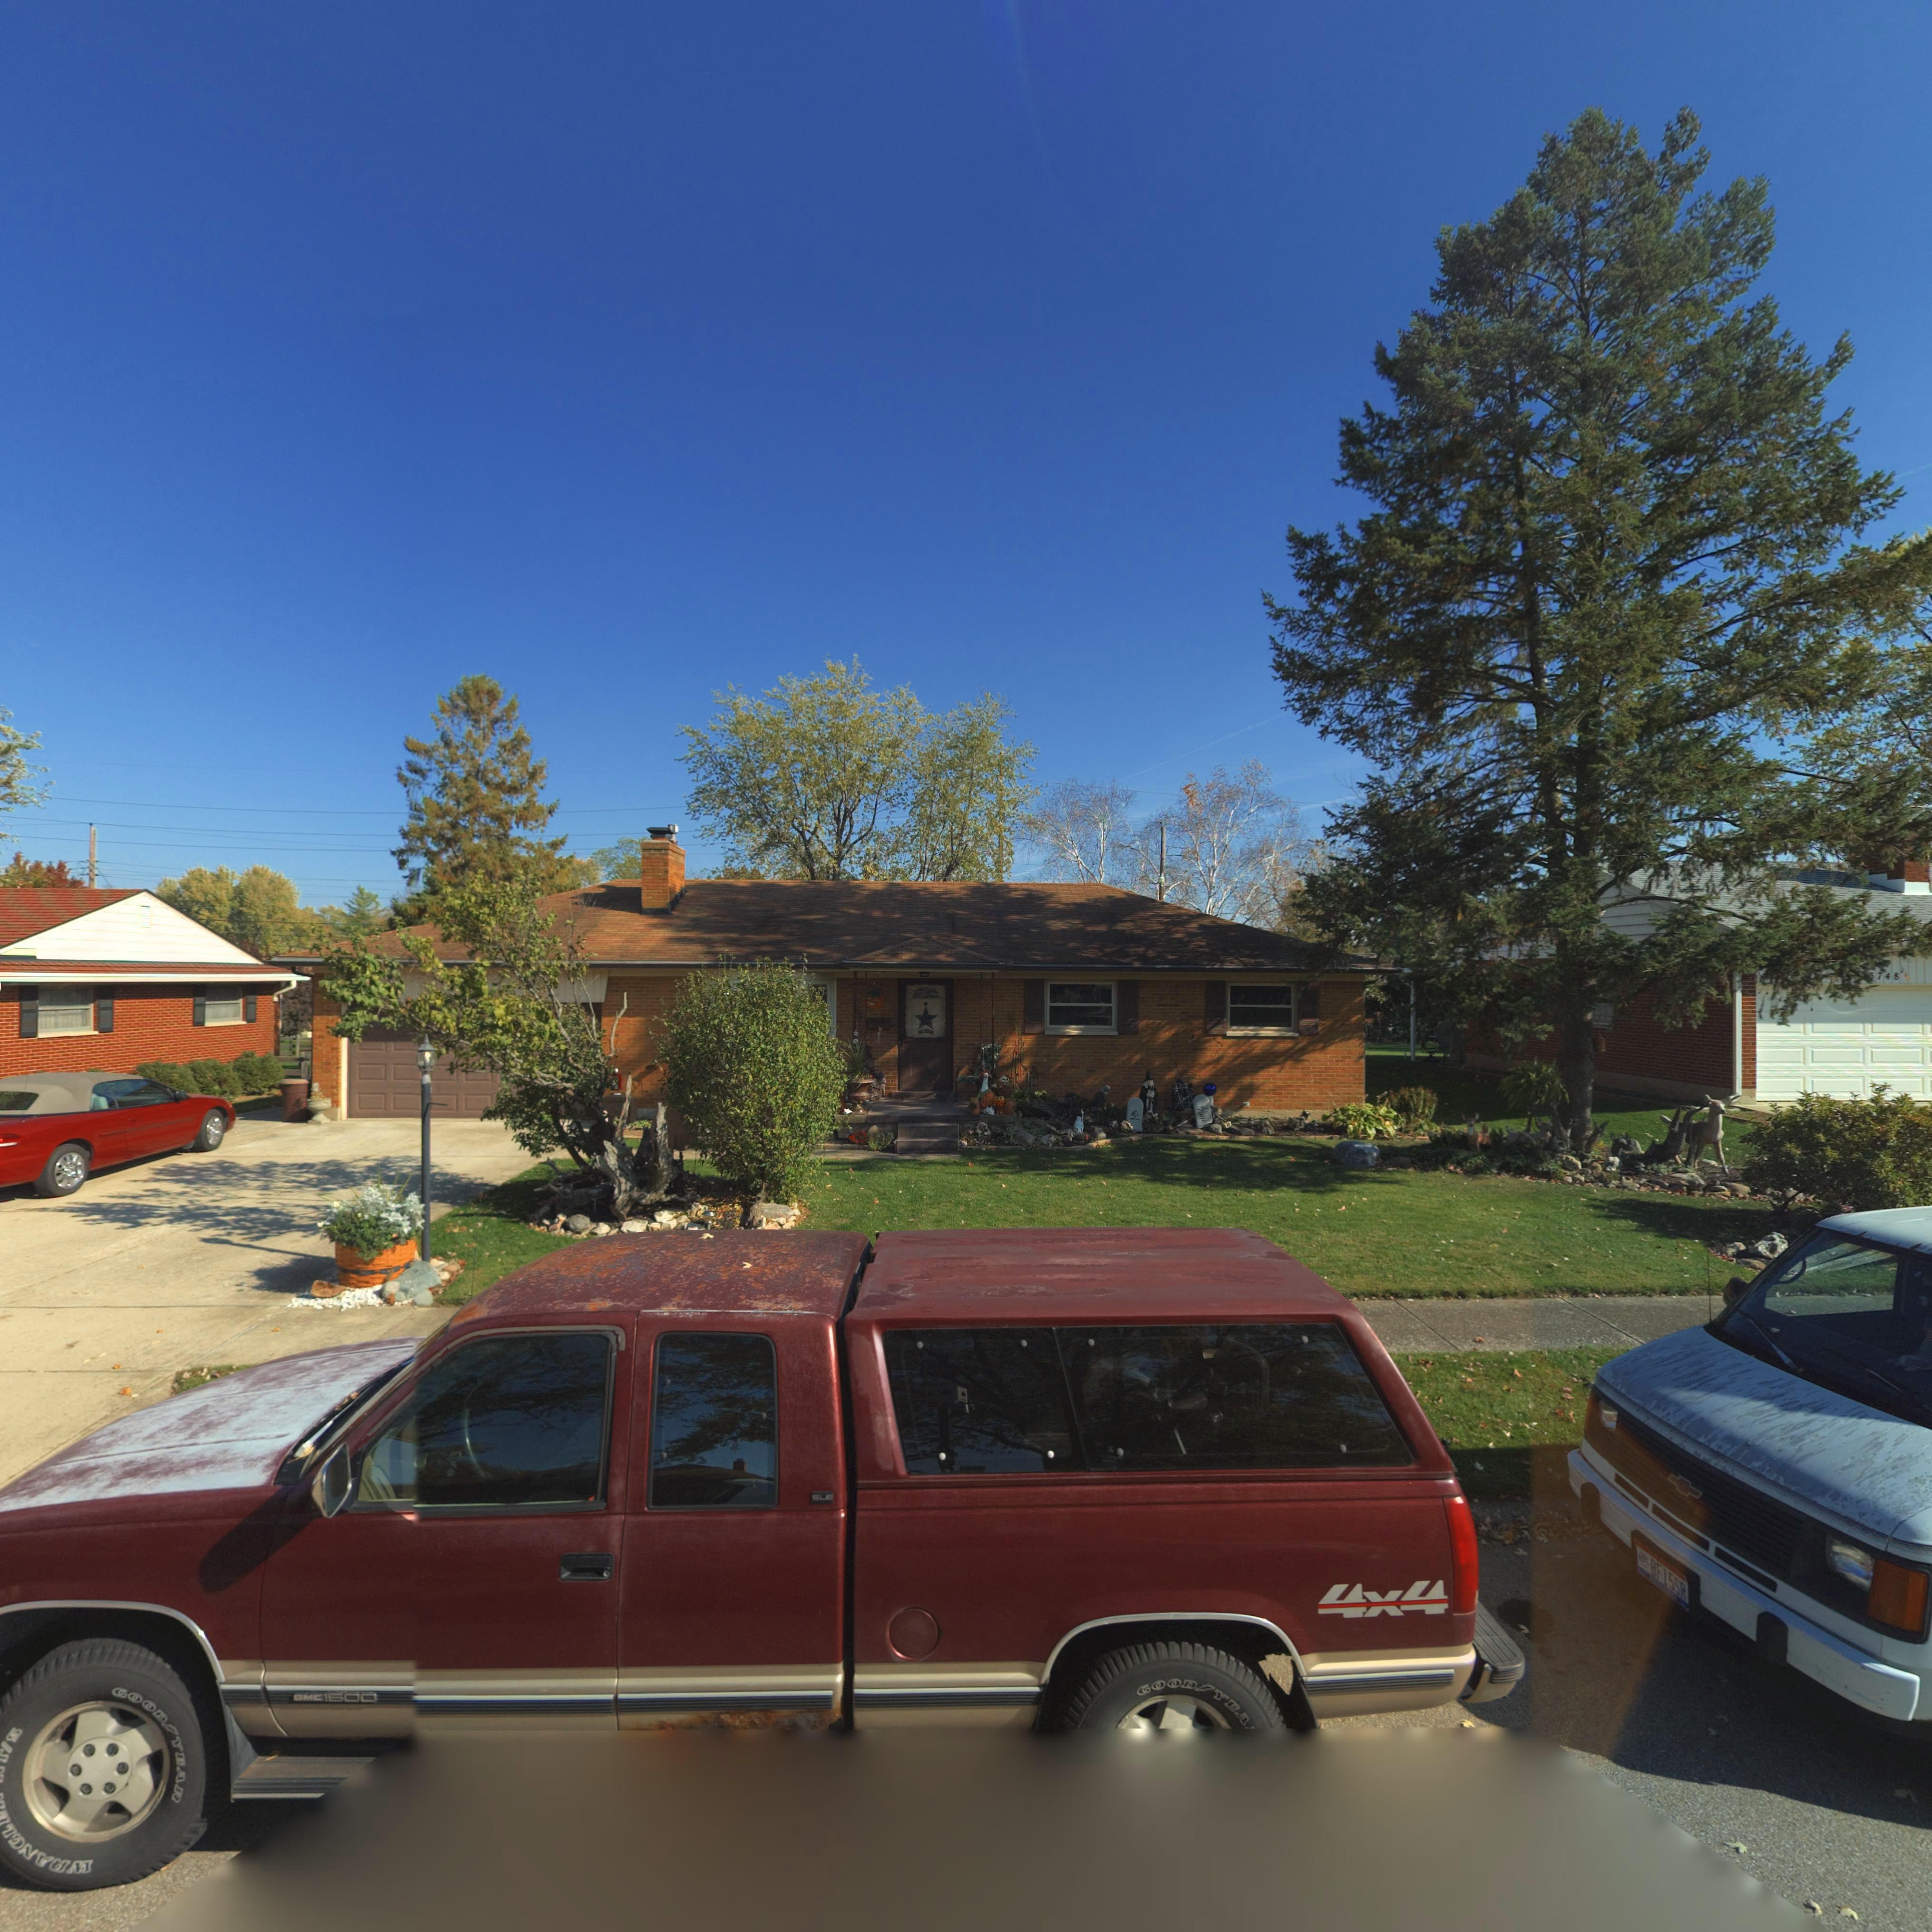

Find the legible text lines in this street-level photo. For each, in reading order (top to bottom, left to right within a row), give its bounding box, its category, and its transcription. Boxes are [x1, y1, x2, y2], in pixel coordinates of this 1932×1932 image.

[811, 1493, 834, 1502] None: SLE